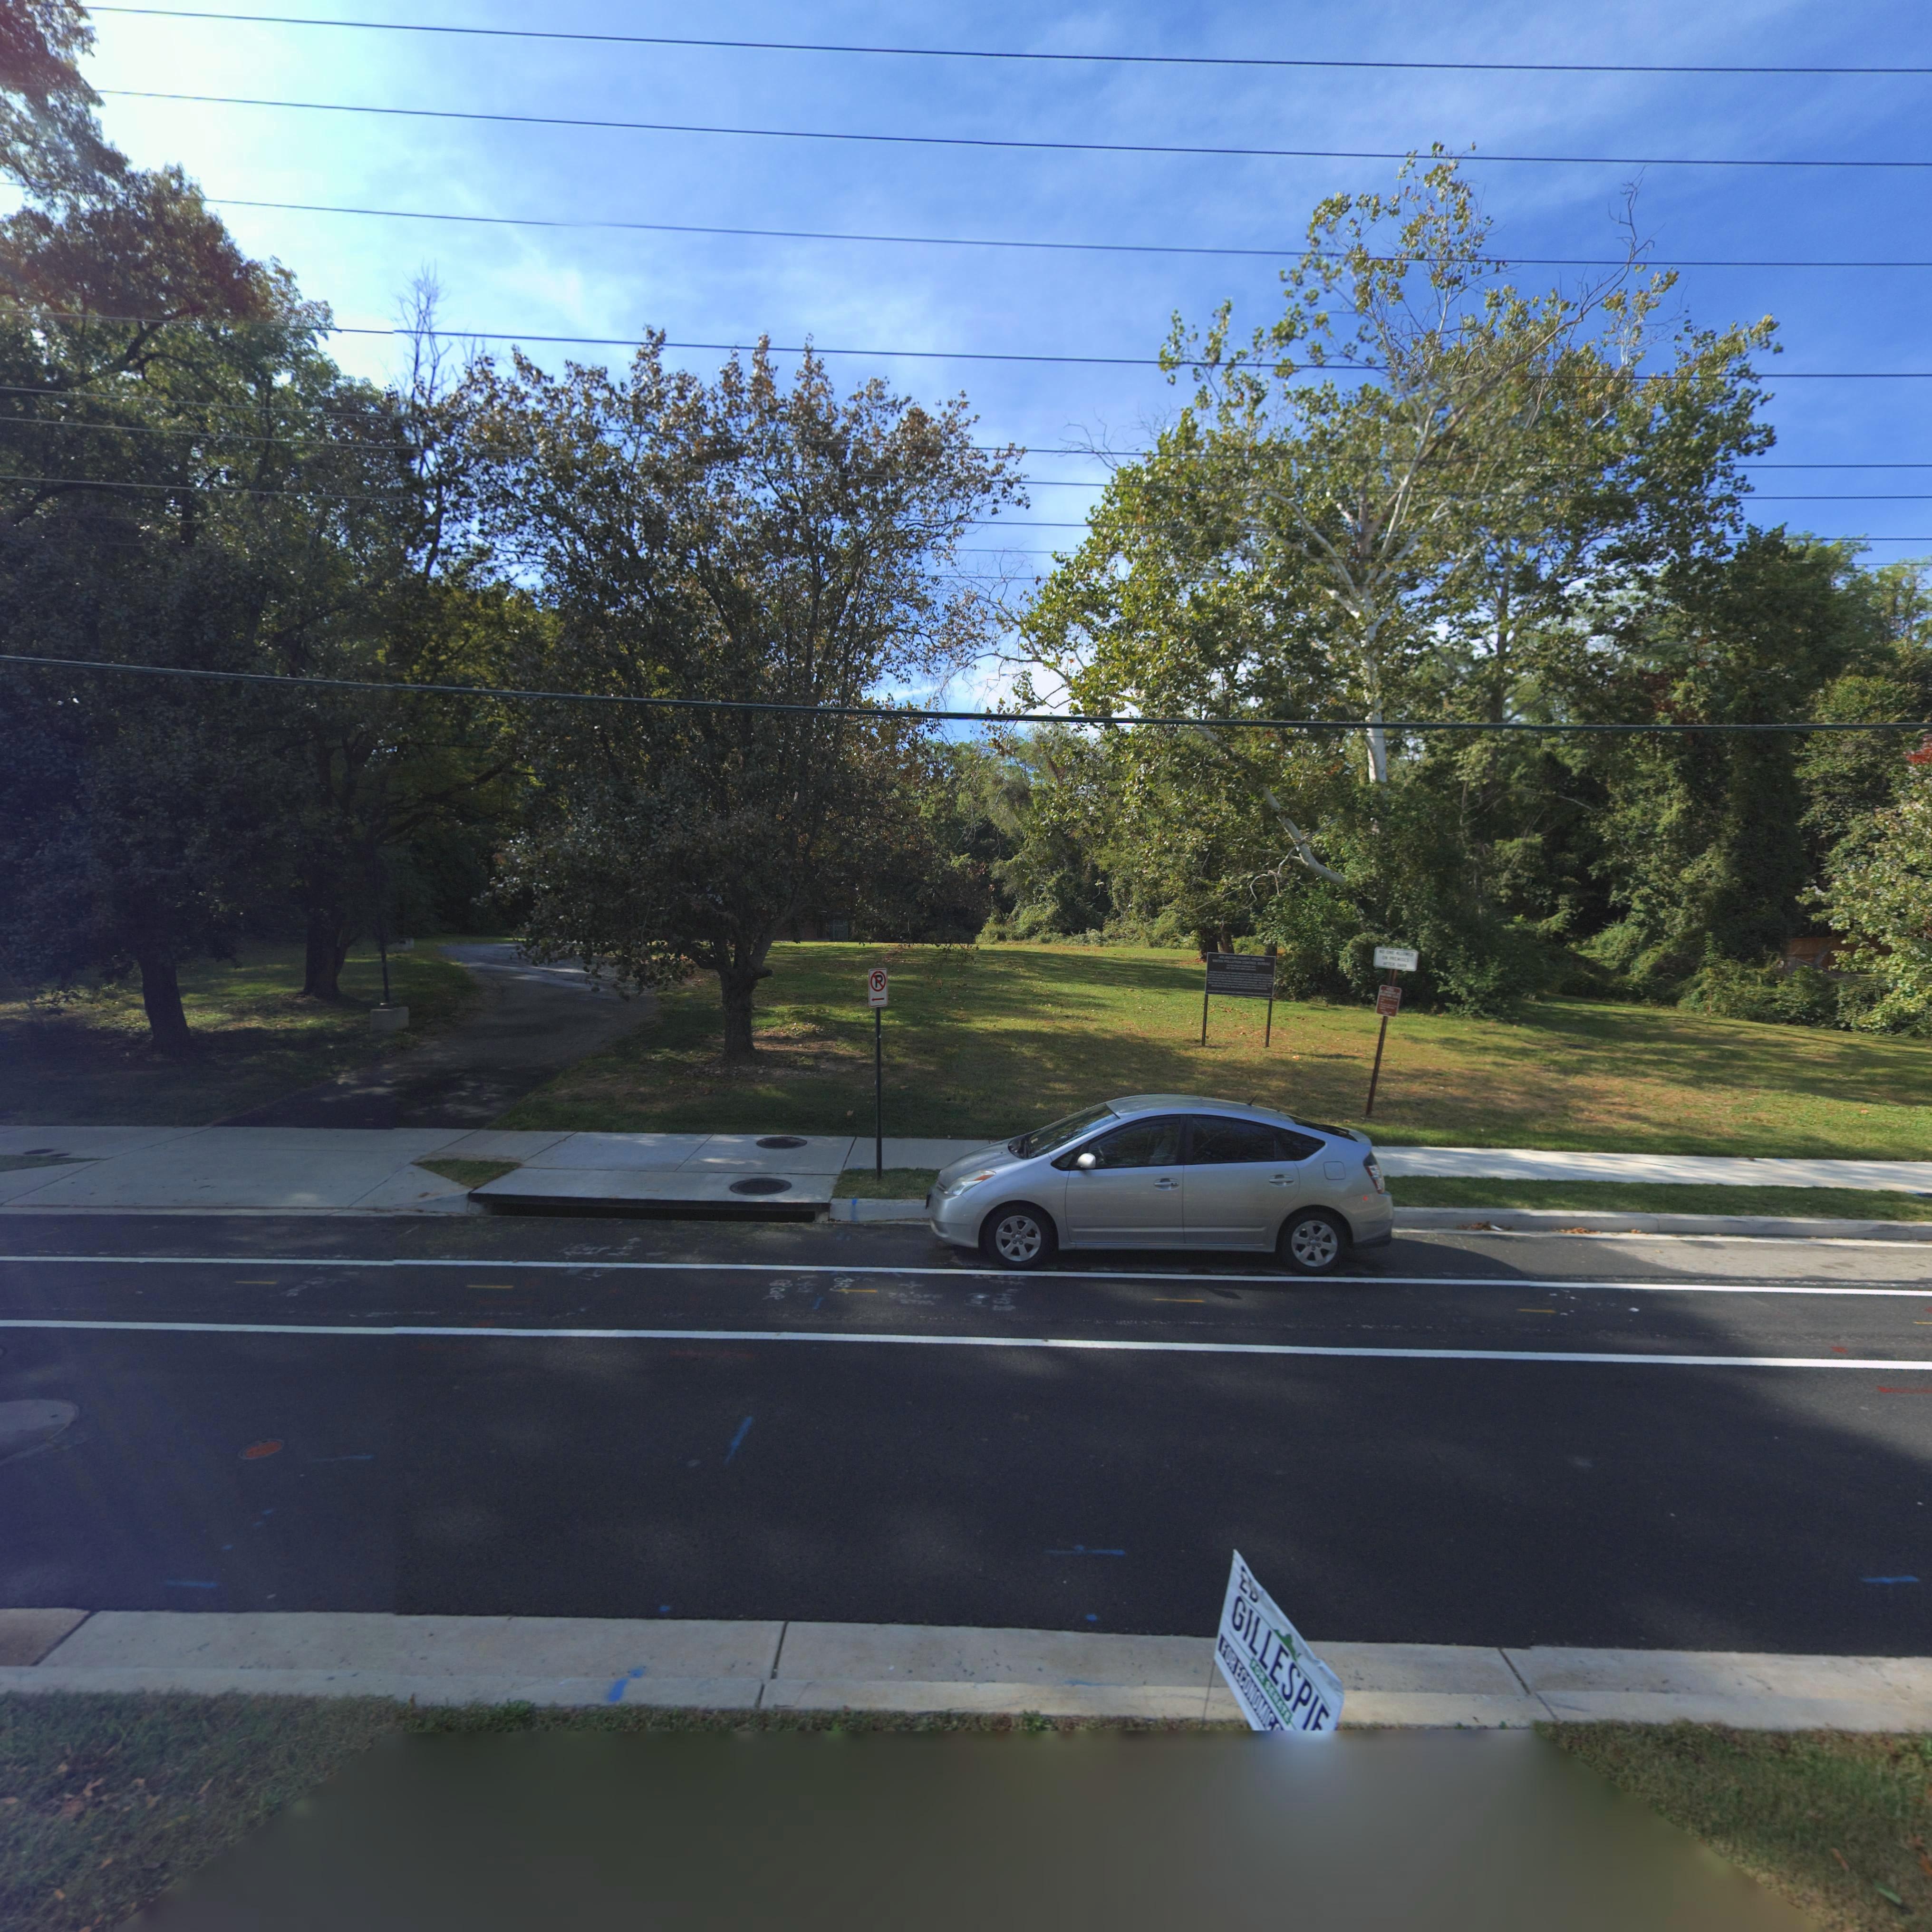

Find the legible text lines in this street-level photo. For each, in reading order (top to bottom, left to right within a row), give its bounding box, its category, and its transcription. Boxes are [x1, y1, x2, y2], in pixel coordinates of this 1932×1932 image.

[1219, 1638, 1277, 1731] None: FOR ECONOMIC
[1249, 1658, 1294, 1723] None: FOR SENATE
[1228, 1592, 1324, 1732] None: GILLESPI